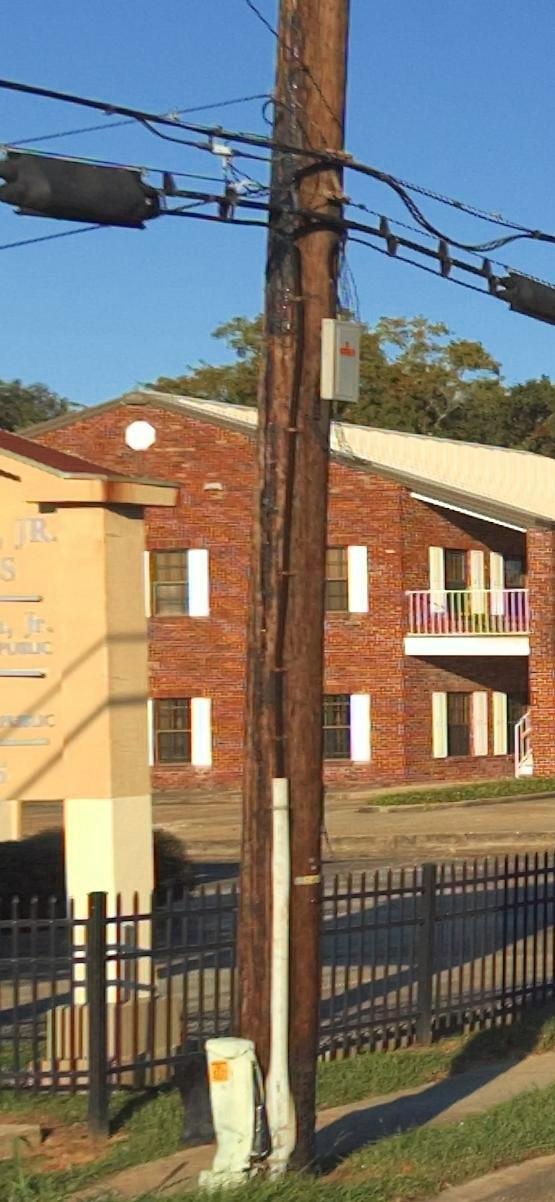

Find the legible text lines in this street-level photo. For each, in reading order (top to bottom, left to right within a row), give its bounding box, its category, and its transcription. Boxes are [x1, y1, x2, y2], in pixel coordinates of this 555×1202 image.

[13, 515, 58, 550] None: JR.
[0, 555, 18, 584] None: S
[22, 610, 56, 638] None: Jr.
[1, 639, 54, 657] None: PUBLIC
[29, 712, 57, 728] None: LIC